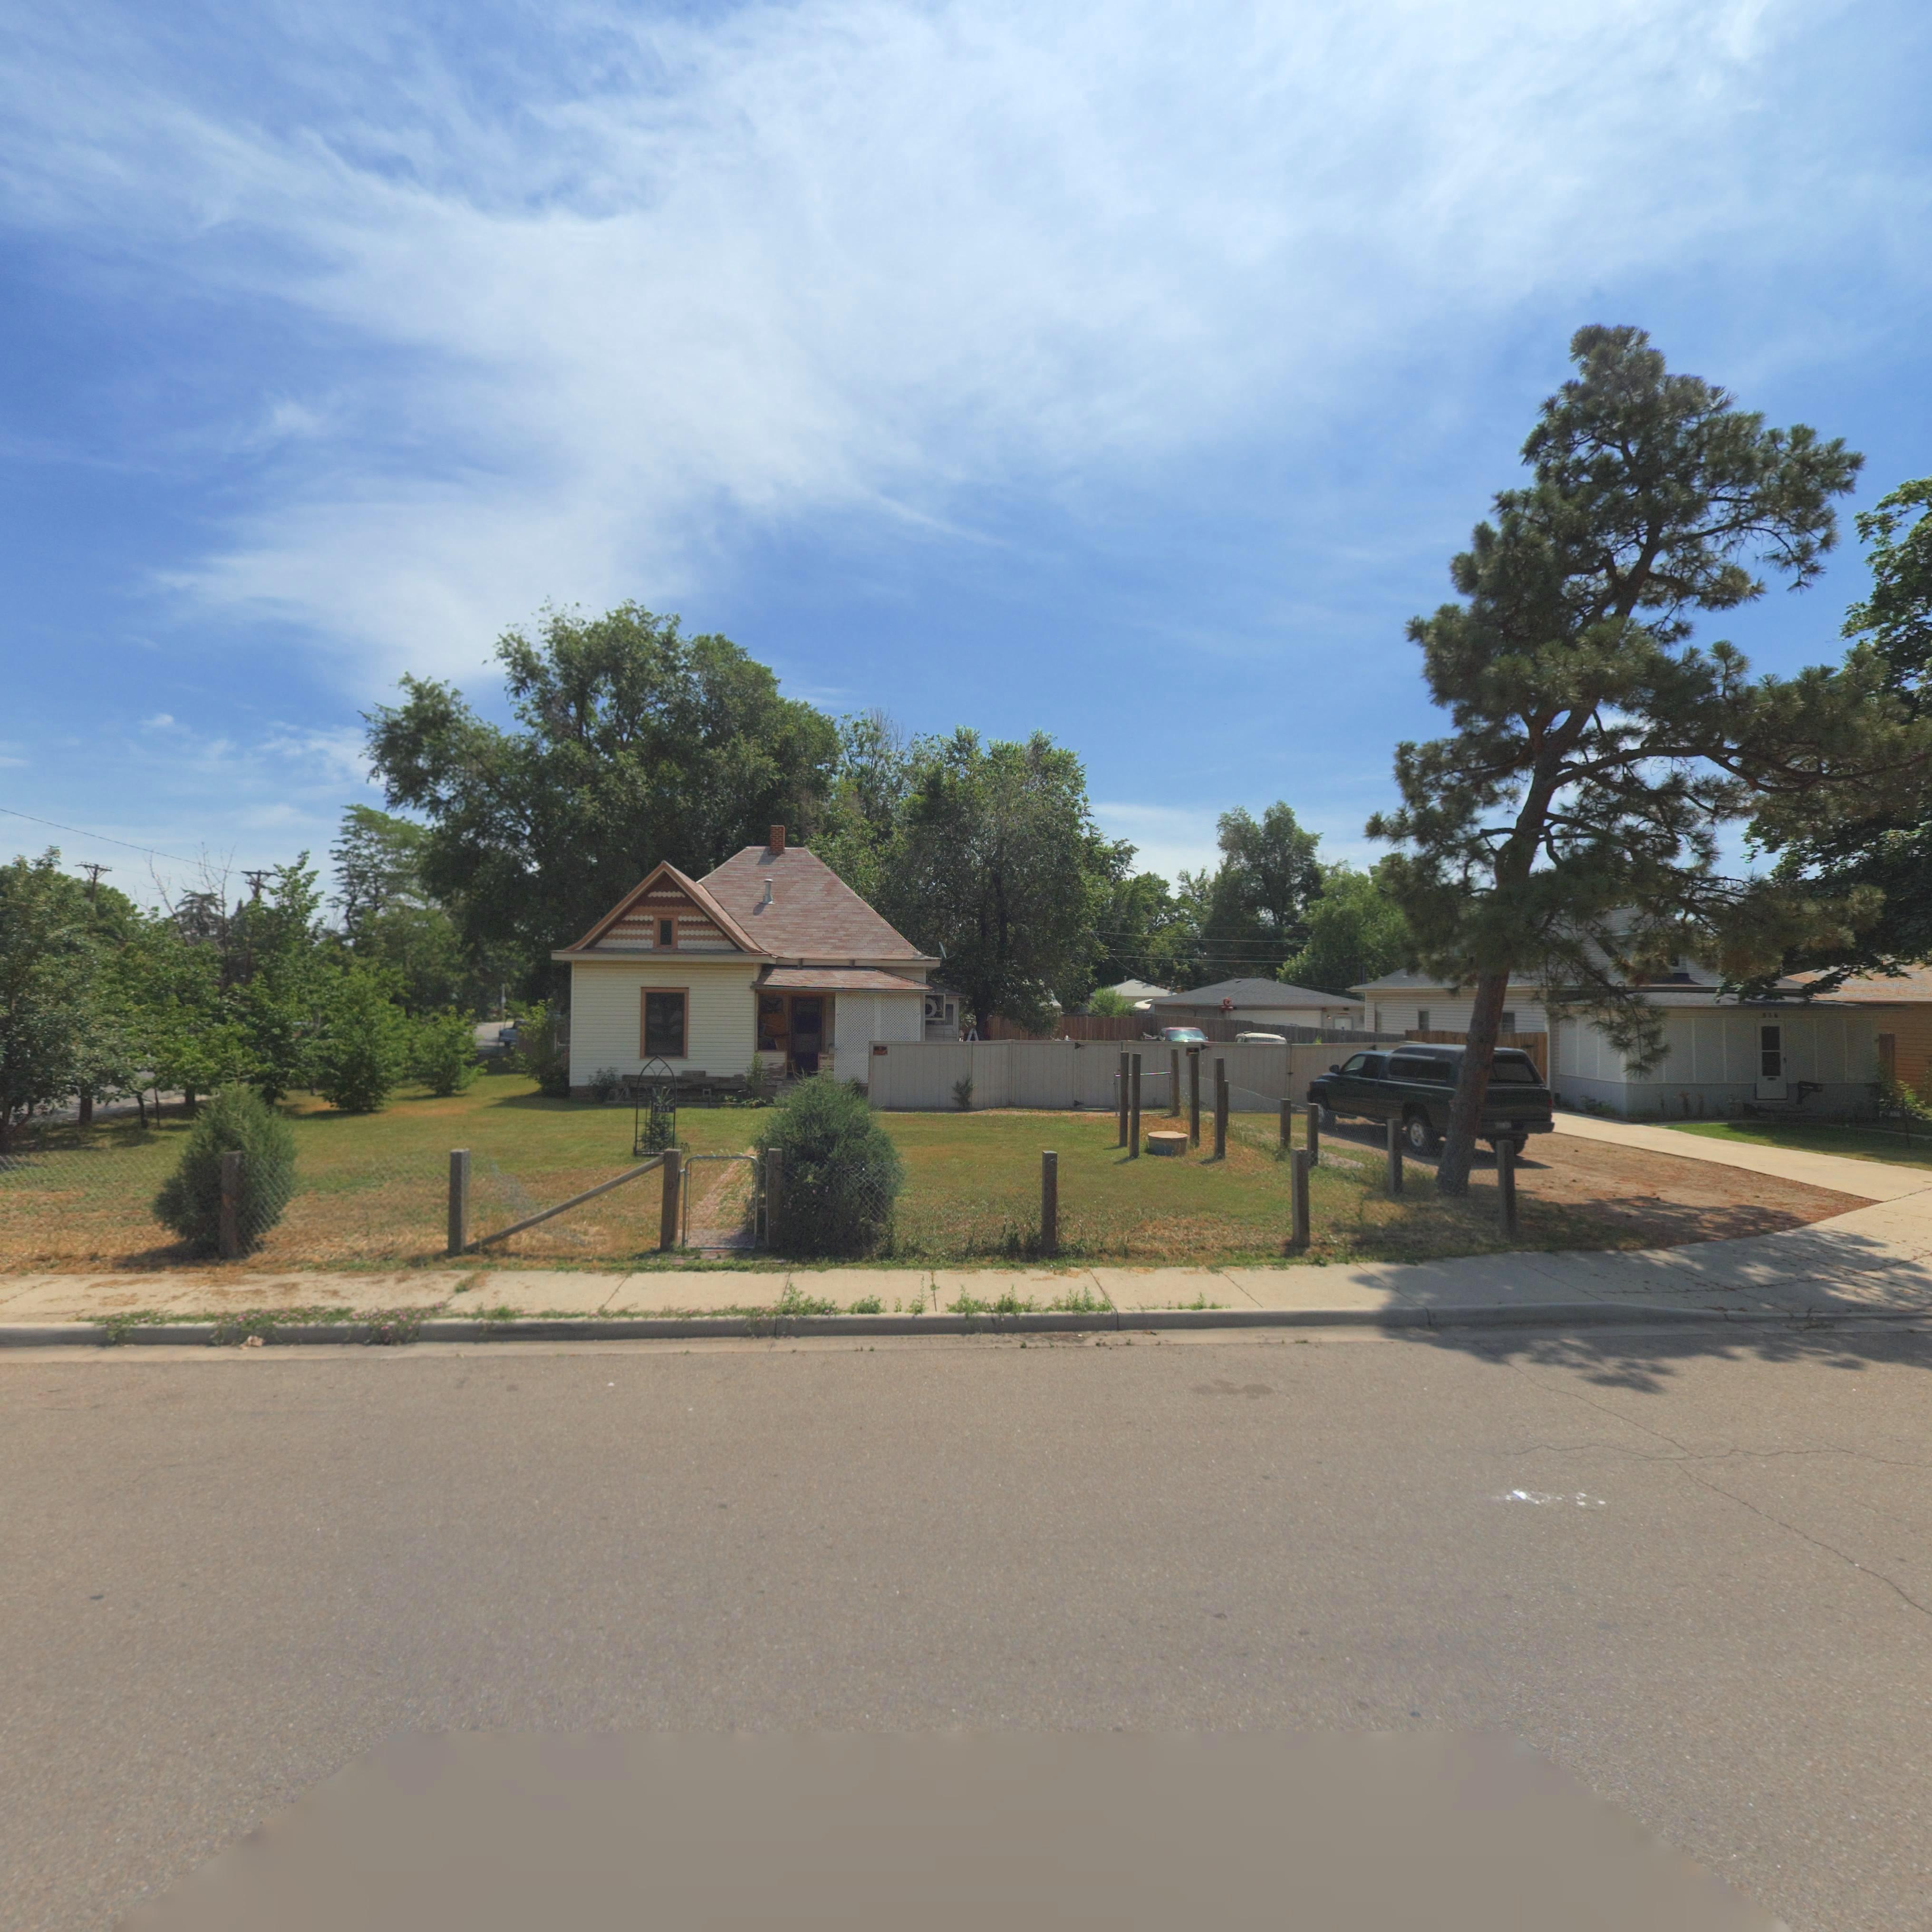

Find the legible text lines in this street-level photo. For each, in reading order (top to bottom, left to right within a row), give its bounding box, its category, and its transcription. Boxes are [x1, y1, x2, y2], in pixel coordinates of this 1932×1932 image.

[1761, 1012, 1778, 1019] StreetNumber: 836
[657, 1106, 670, 1112] StreetNumber: 84*